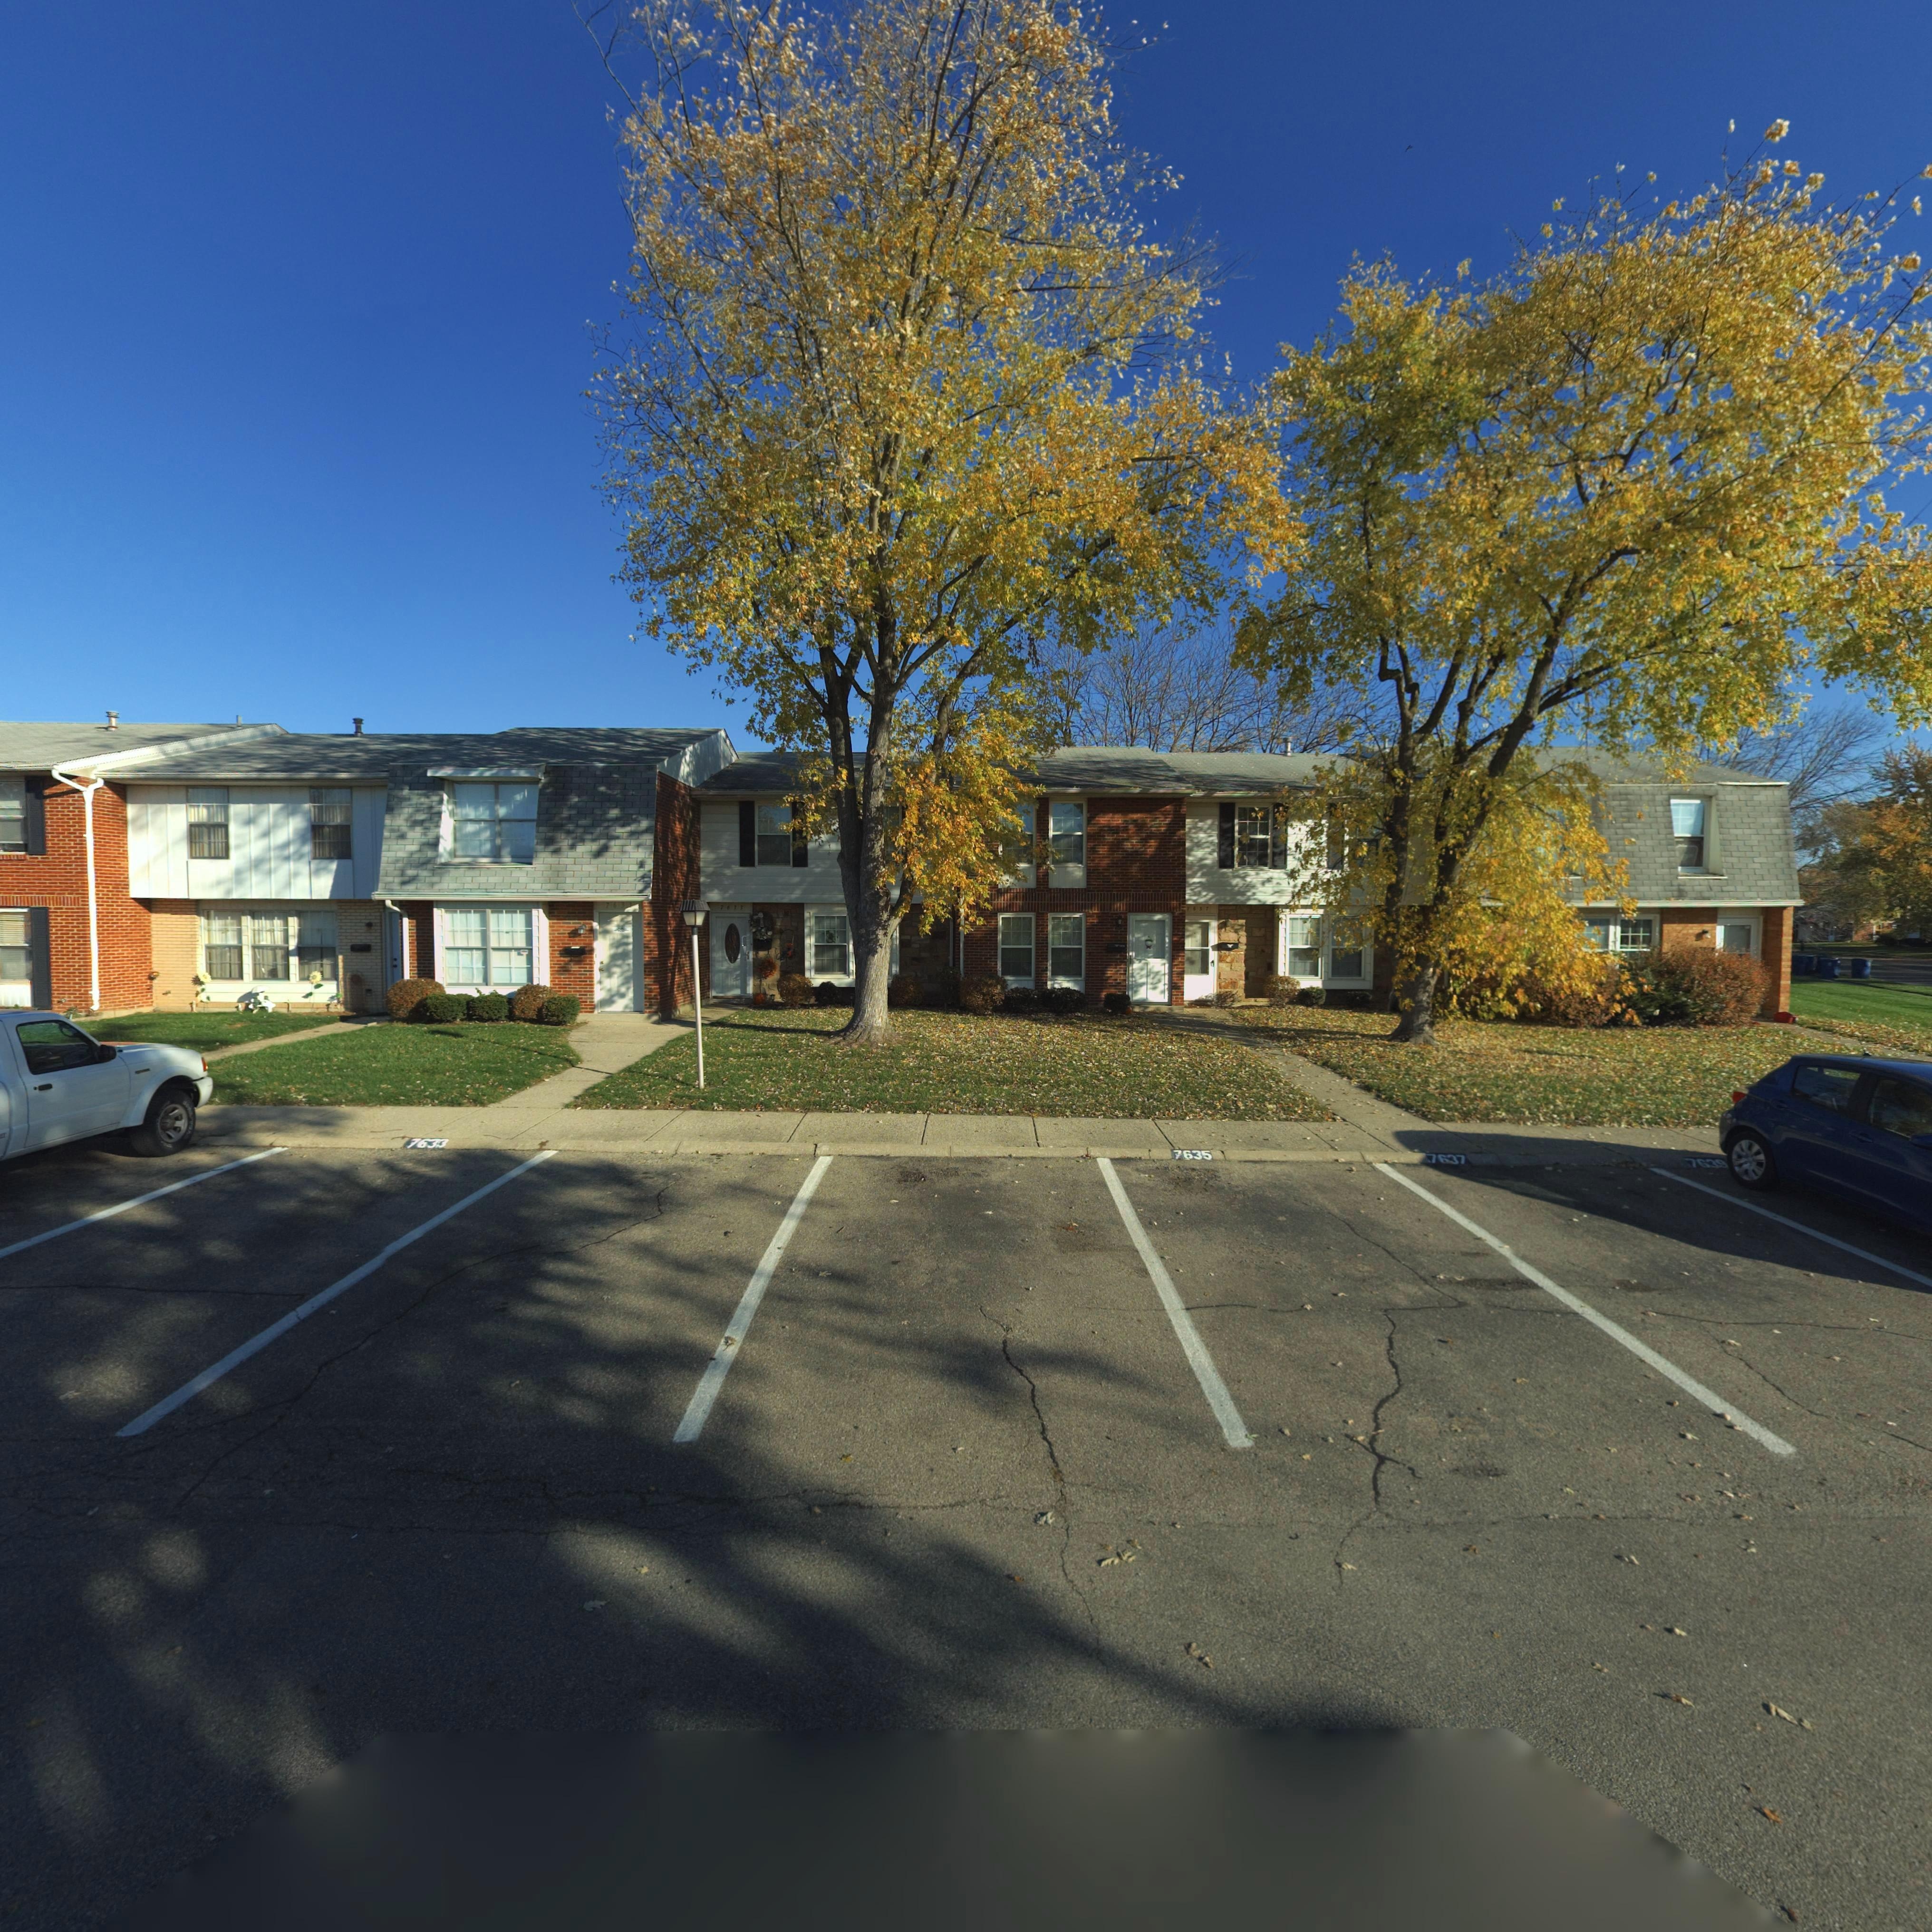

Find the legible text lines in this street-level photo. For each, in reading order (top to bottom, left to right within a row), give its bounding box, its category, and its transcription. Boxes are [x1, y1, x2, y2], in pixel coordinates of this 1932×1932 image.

[605, 901, 632, 909] StreetNumber: 7631
[720, 904, 744, 910] StreetNumber: 7633
[1186, 906, 1209, 912] StreetNumber: 7637
[406, 1138, 450, 1149] StreetNumber: 7633
[1172, 1149, 1213, 1161] StreetNumber: 7635
[1425, 1153, 1467, 1166] StreetNumber: 7637
[1684, 1158, 1729, 1169] StreetNumber: 7639